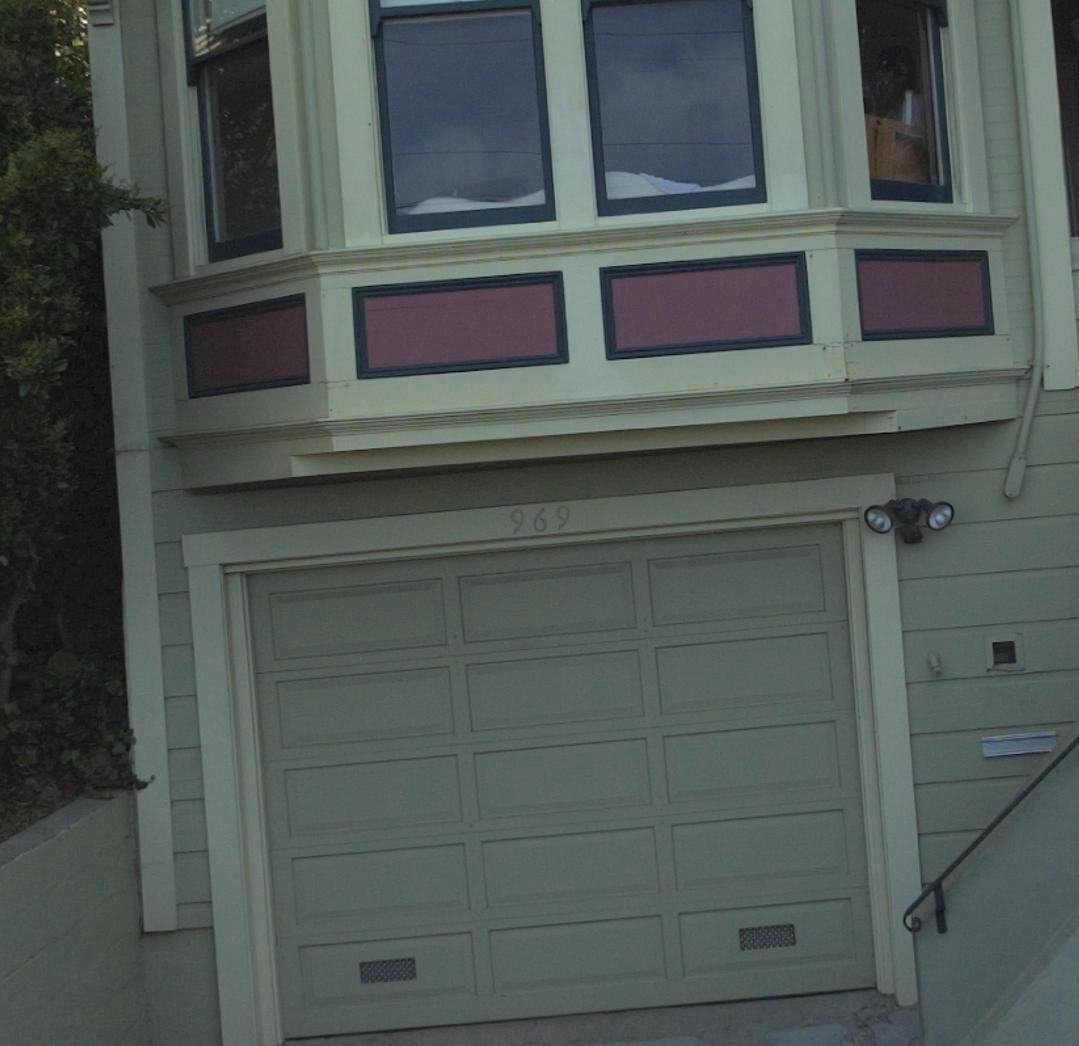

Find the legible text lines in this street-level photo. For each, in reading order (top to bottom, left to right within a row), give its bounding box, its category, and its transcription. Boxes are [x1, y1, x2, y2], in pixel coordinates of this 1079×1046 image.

[508, 504, 574, 536] StreetNumber: 969